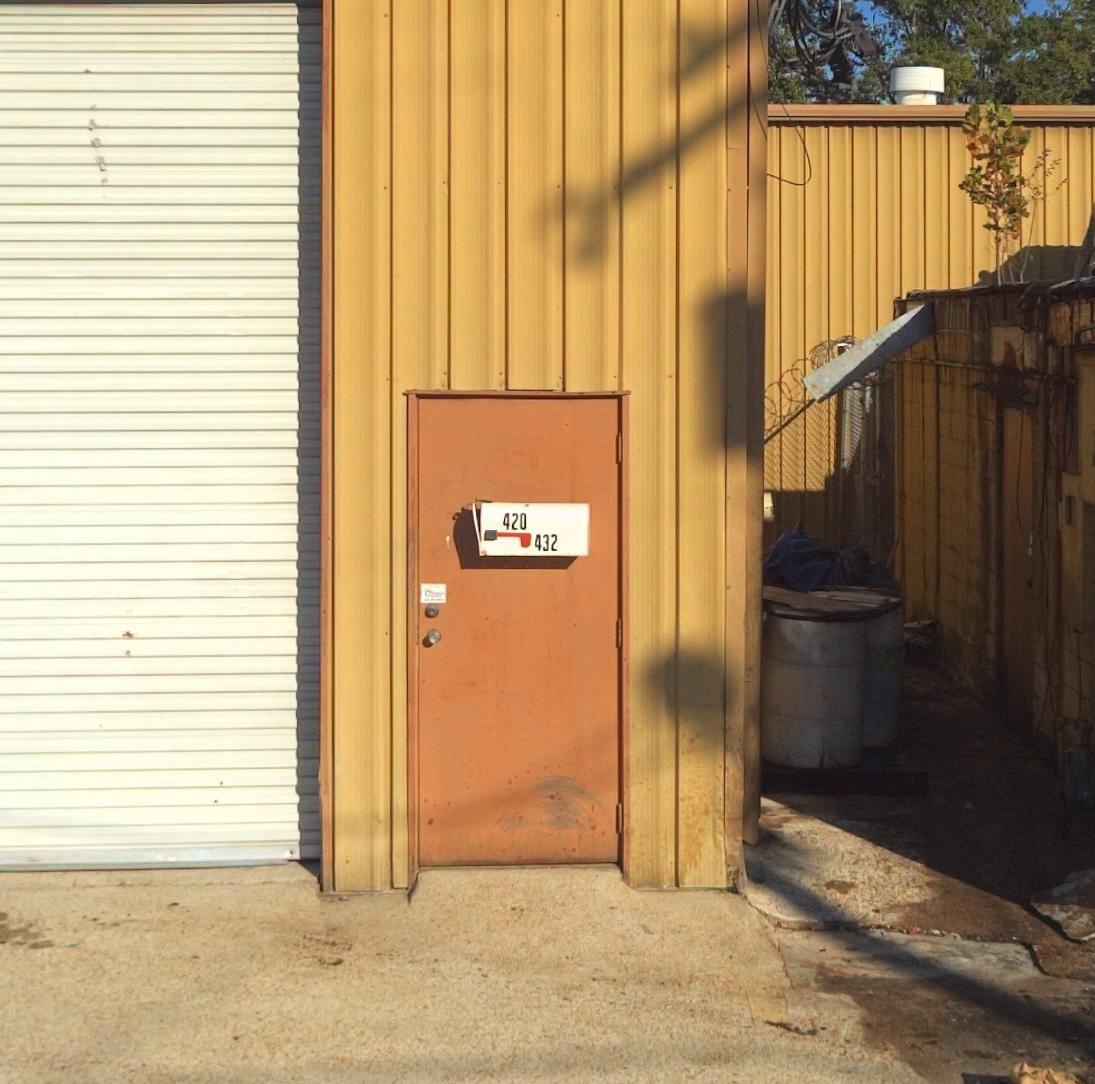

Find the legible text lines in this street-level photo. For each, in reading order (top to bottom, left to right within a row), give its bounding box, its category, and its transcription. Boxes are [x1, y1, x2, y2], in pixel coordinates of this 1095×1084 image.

[501, 510, 529, 533] StreetNumber: 420
[531, 531, 561, 554] StreetNumber: 432